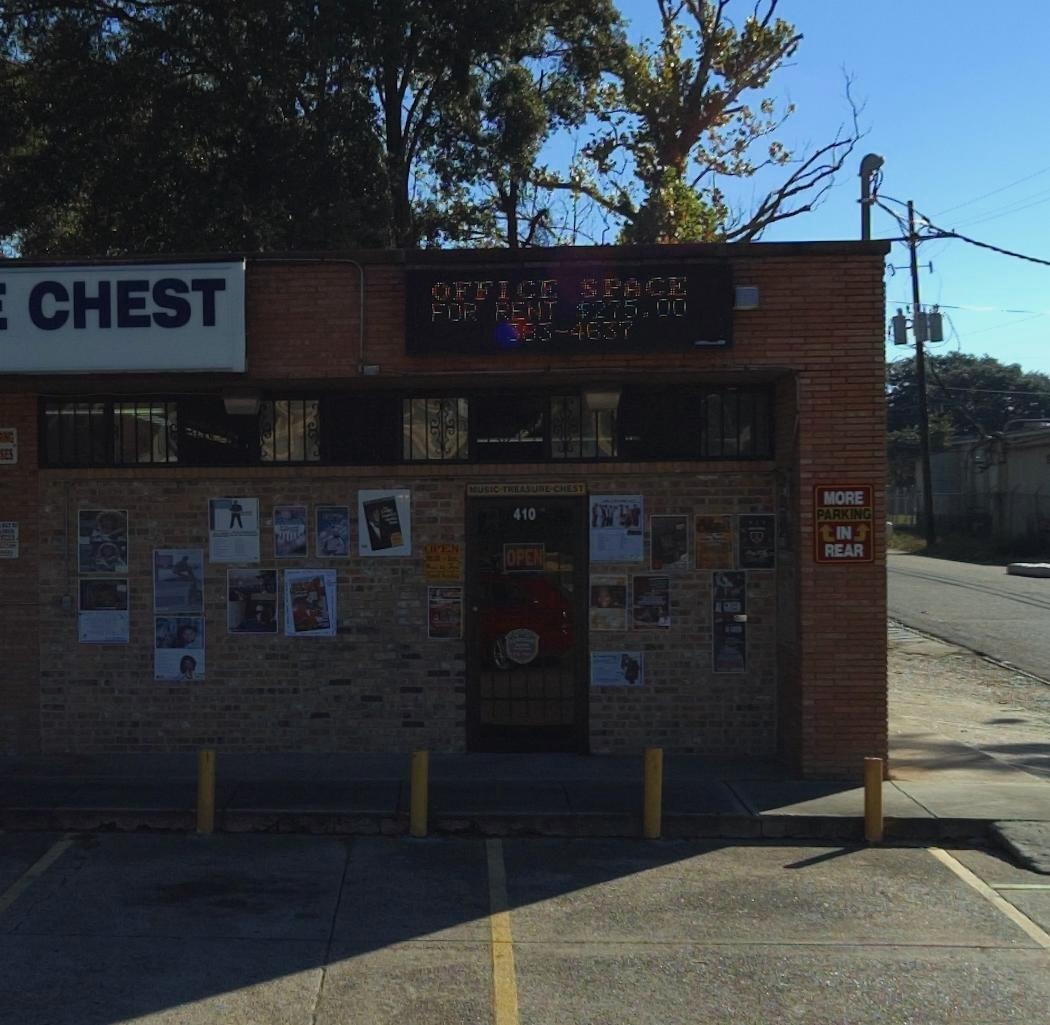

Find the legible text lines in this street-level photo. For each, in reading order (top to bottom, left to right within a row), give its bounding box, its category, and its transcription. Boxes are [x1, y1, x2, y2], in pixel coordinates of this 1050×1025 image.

[427, 274, 690, 304] None: OFFICE SPACE
[25, 275, 230, 334] BusinessName: CHEST
[428, 295, 692, 326] None: FOR RENT $275.00
[503, 319, 637, 345] None: 383-4637
[468, 483, 585, 496] BusinessName: MUSIC TREASURE CHEST
[822, 489, 866, 507] None: MORE
[512, 506, 537, 522] StreetNumber: 410
[815, 507, 873, 522] None: PARKING
[834, 523, 854, 542] None: IN
[505, 546, 544, 569] None: OPEN
[823, 542, 866, 559] None: REAR